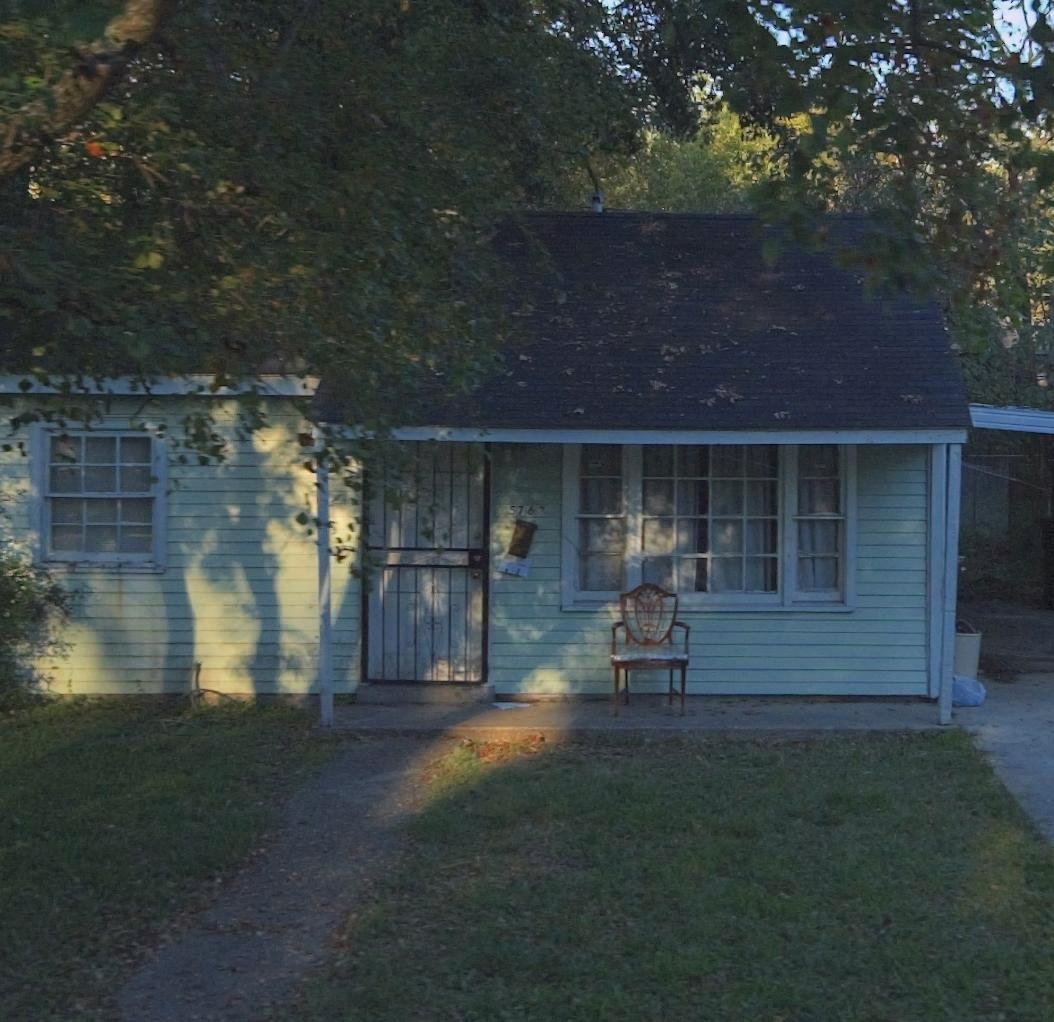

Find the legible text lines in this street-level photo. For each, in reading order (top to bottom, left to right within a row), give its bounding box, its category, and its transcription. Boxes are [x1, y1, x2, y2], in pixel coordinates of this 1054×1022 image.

[508, 505, 546, 516] StreetNumber: 5763